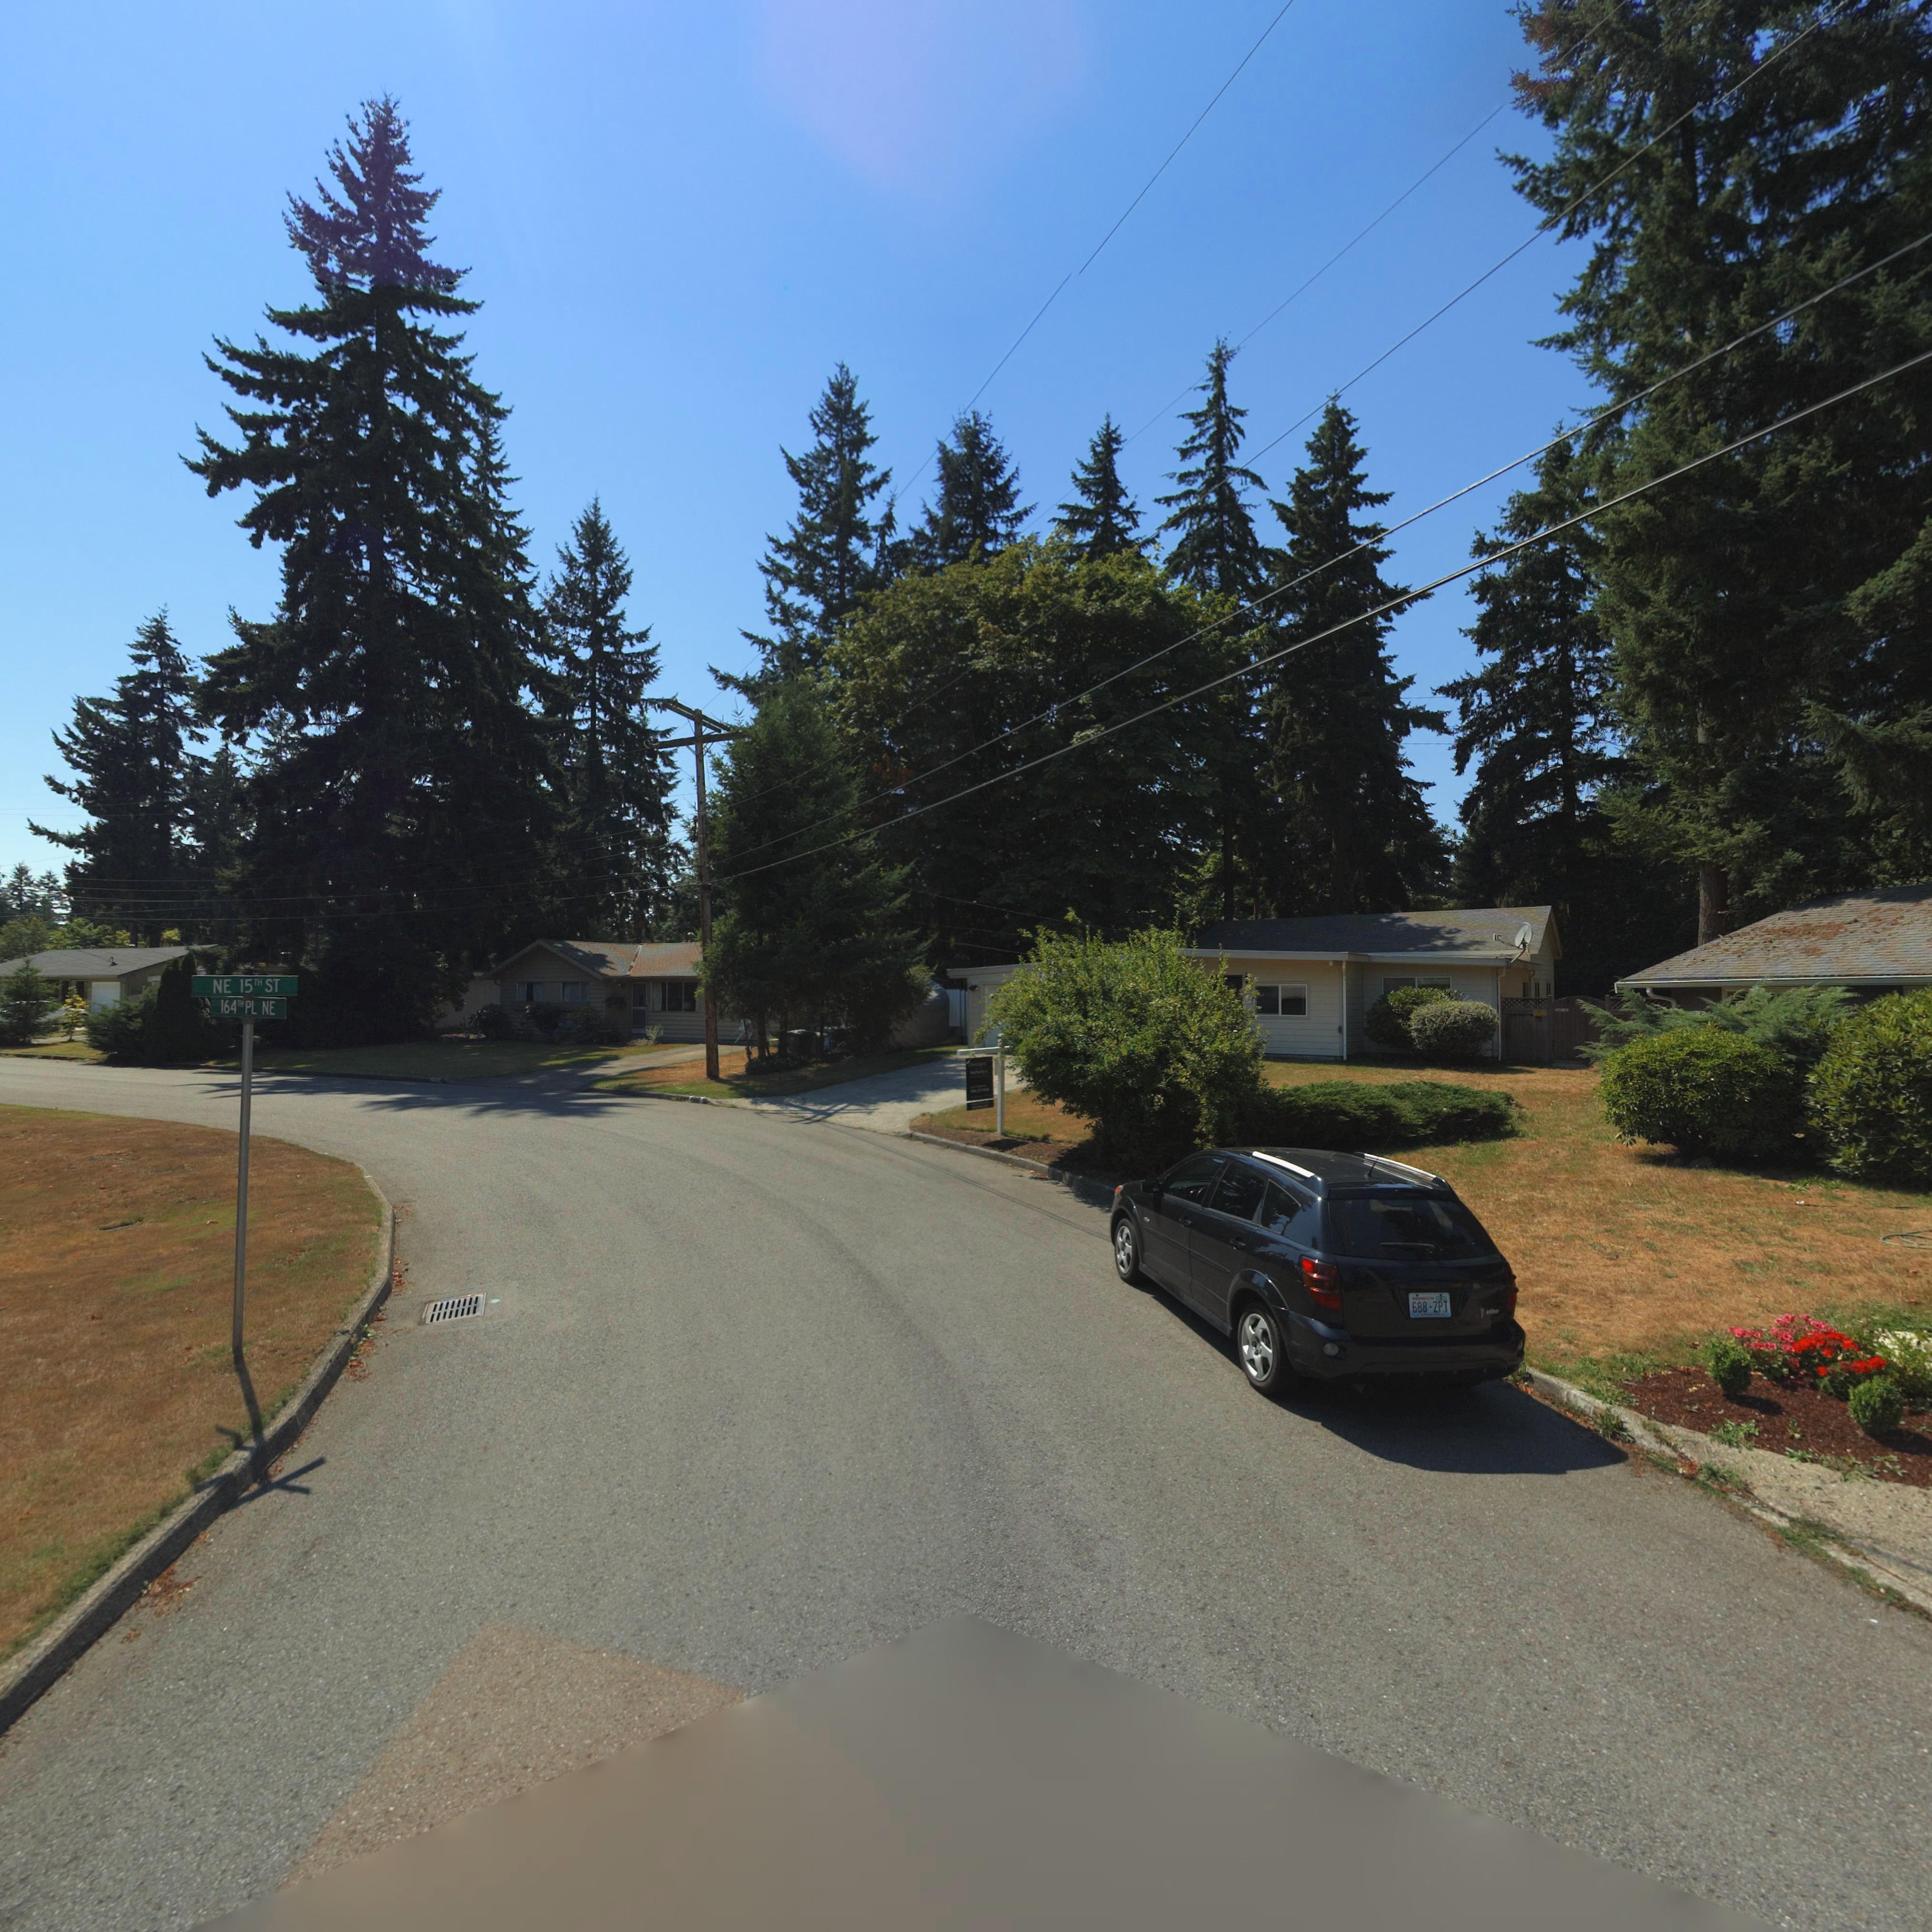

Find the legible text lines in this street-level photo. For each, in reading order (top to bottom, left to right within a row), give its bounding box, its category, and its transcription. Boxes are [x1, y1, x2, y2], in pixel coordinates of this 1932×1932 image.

[213, 979, 280, 993] StreetName: NE15 ST
[221, 999, 275, 1015] StreetName: 164 PL NE